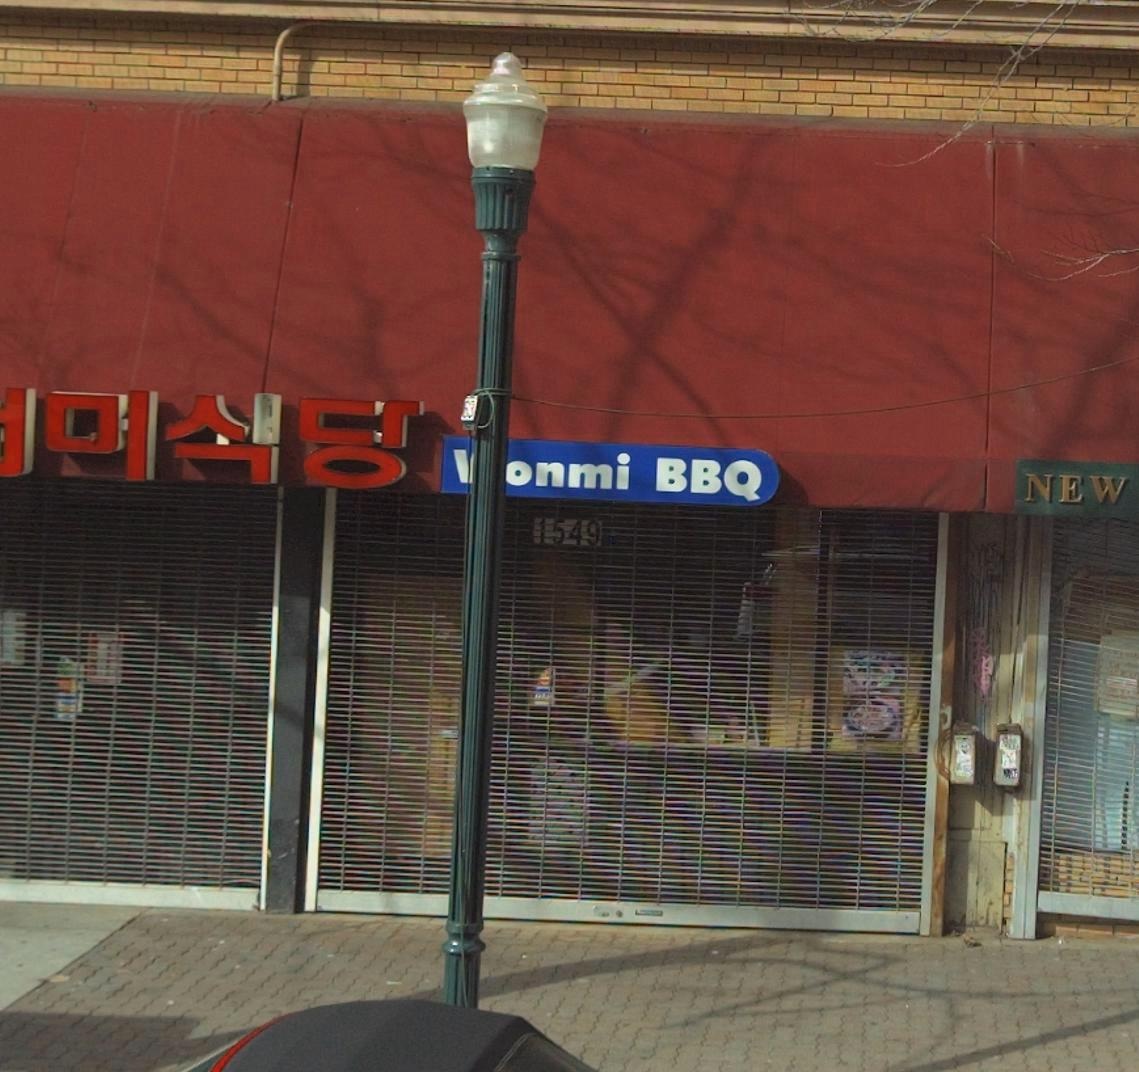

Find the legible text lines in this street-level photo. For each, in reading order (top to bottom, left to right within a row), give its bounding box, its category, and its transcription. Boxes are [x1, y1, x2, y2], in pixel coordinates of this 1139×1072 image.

[465, 397, 478, 420] None: 3
[532, 448, 765, 504] BusinessName: nmi BBQ
[1022, 469, 1132, 508] BusinessName: NEW
[537, 515, 603, 550] StreetNumber: 1549